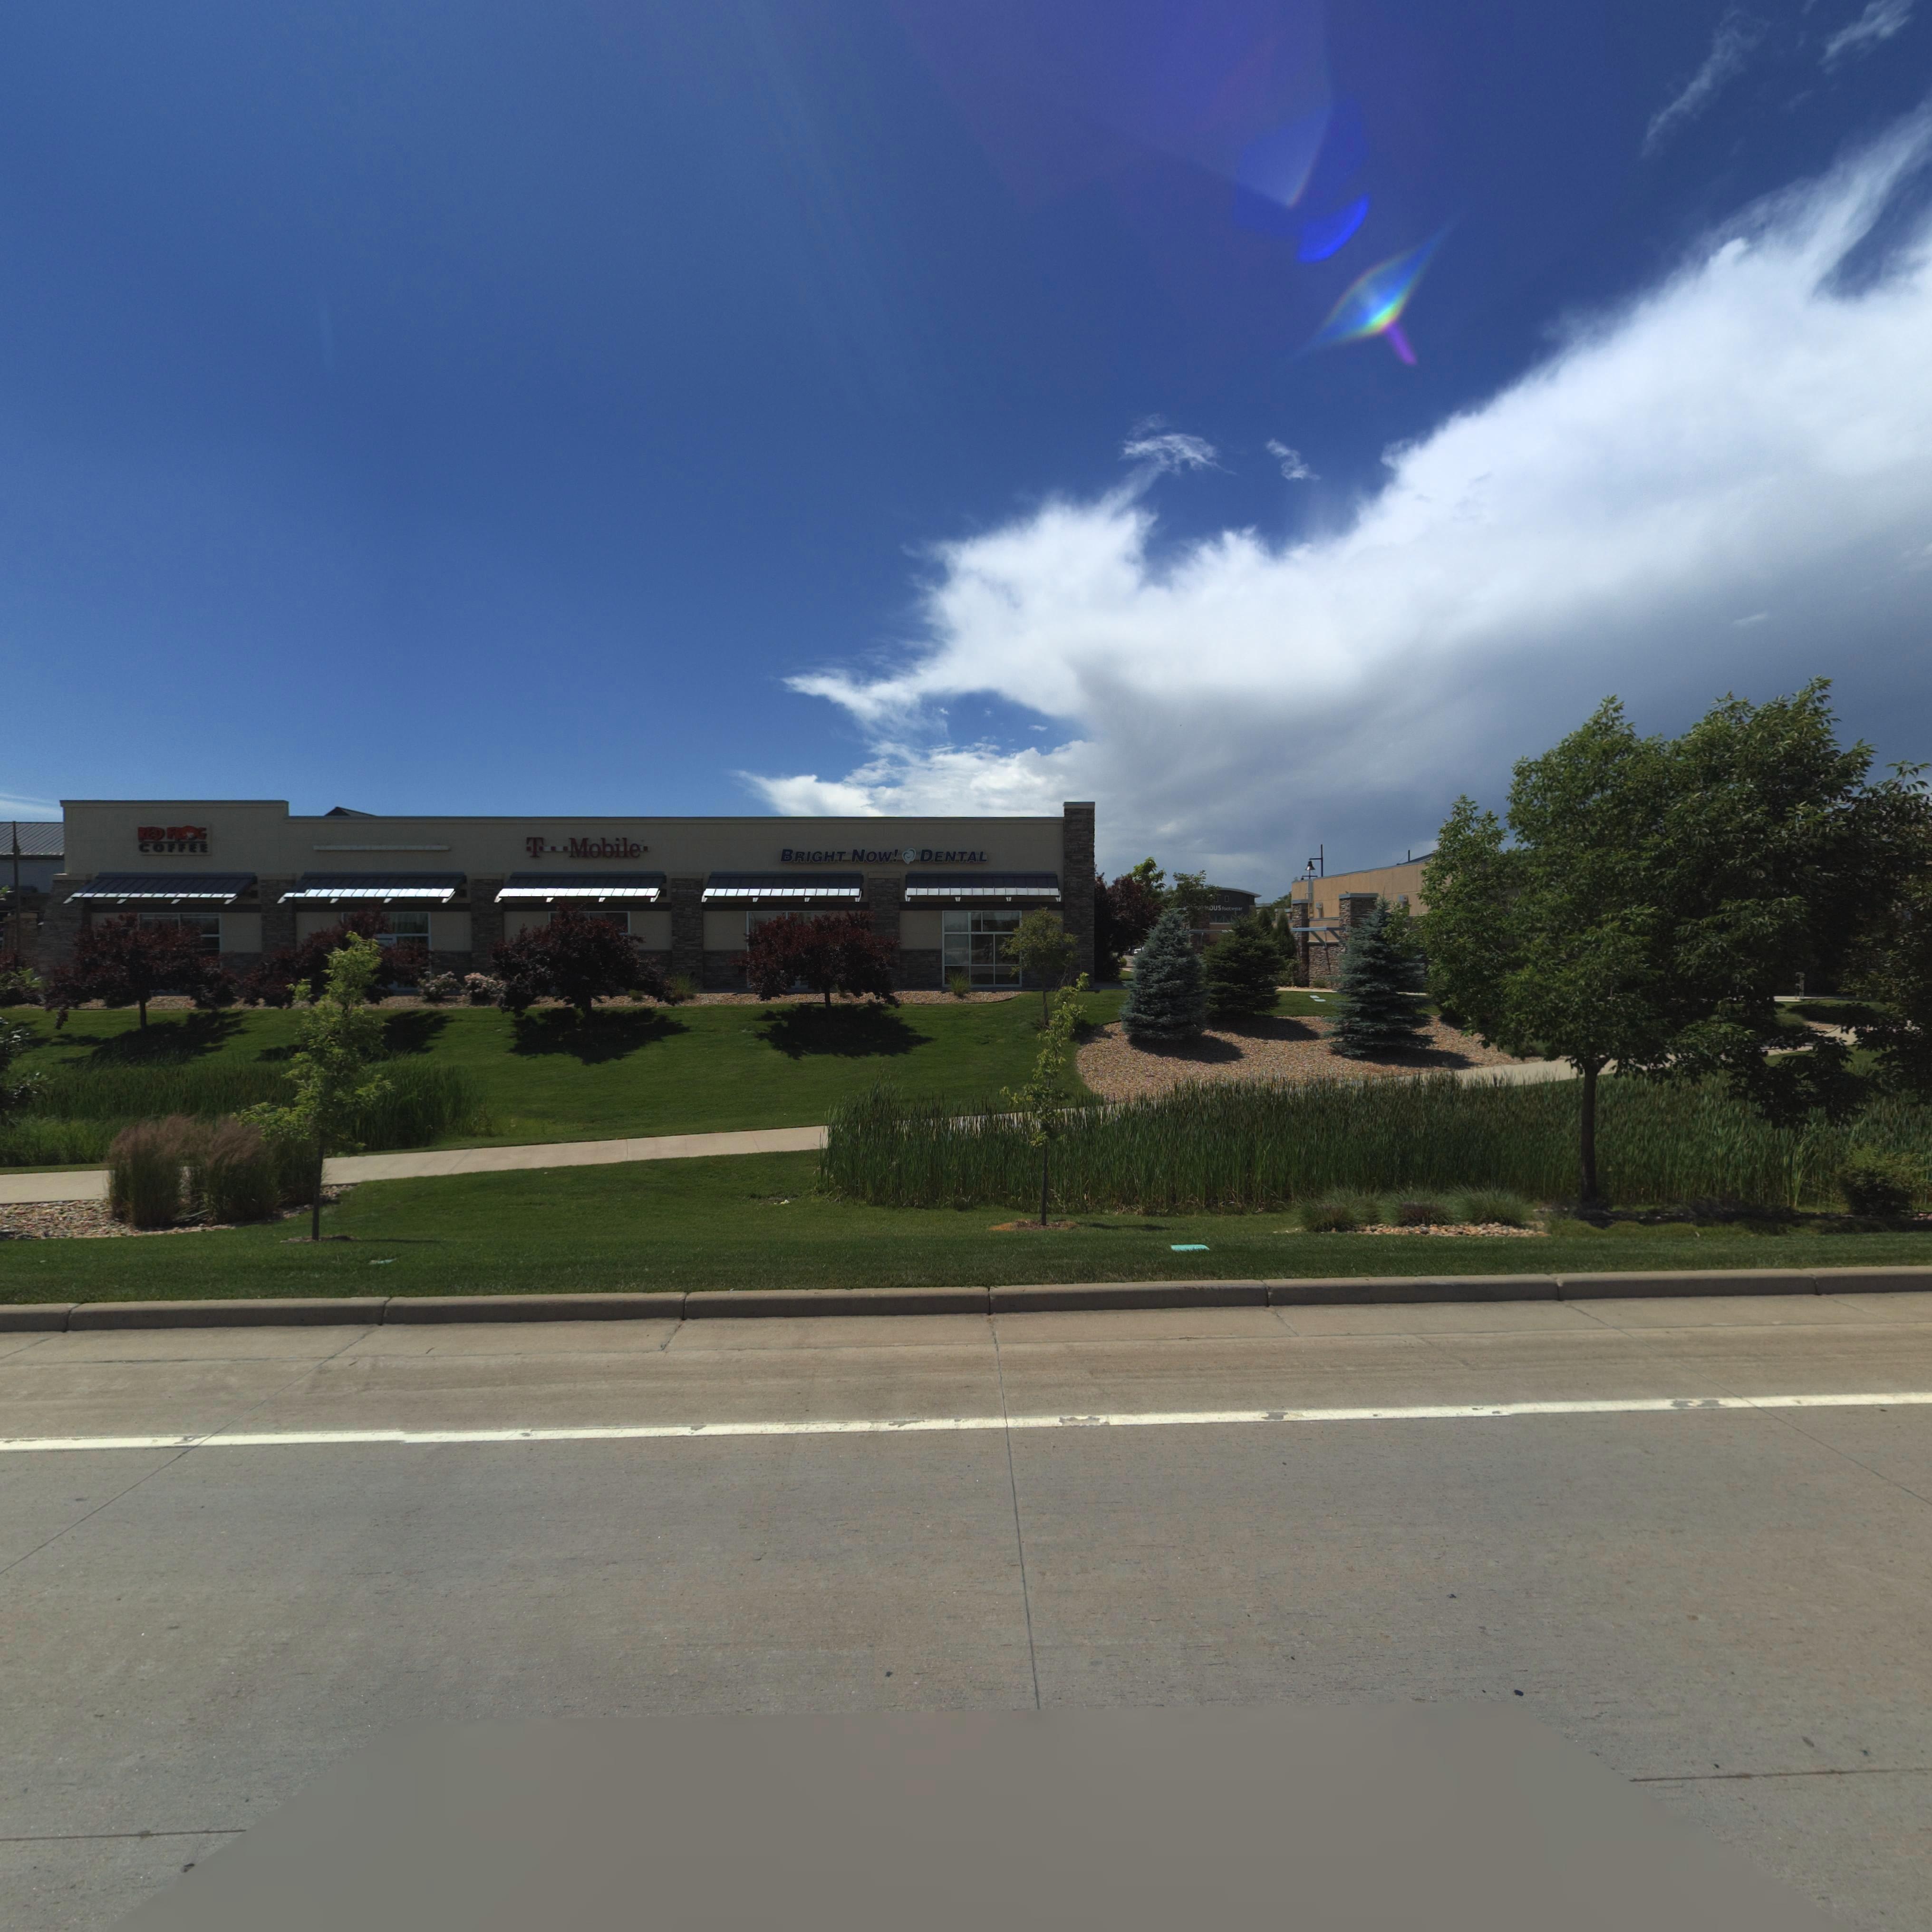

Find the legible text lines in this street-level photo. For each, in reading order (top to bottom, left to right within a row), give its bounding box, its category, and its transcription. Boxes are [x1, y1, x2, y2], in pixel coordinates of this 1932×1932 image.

[135, 824, 208, 841] BusinessName: RED FR*G
[137, 841, 209, 853] BusinessName: COFFEE
[524, 835, 642, 859] BusinessName: *T***Mobile
[779, 848, 988, 865] BusinessName: BRIGHT NOW! * DENTAL
[1208, 905, 1243, 911] BusinessName: OUS footw***